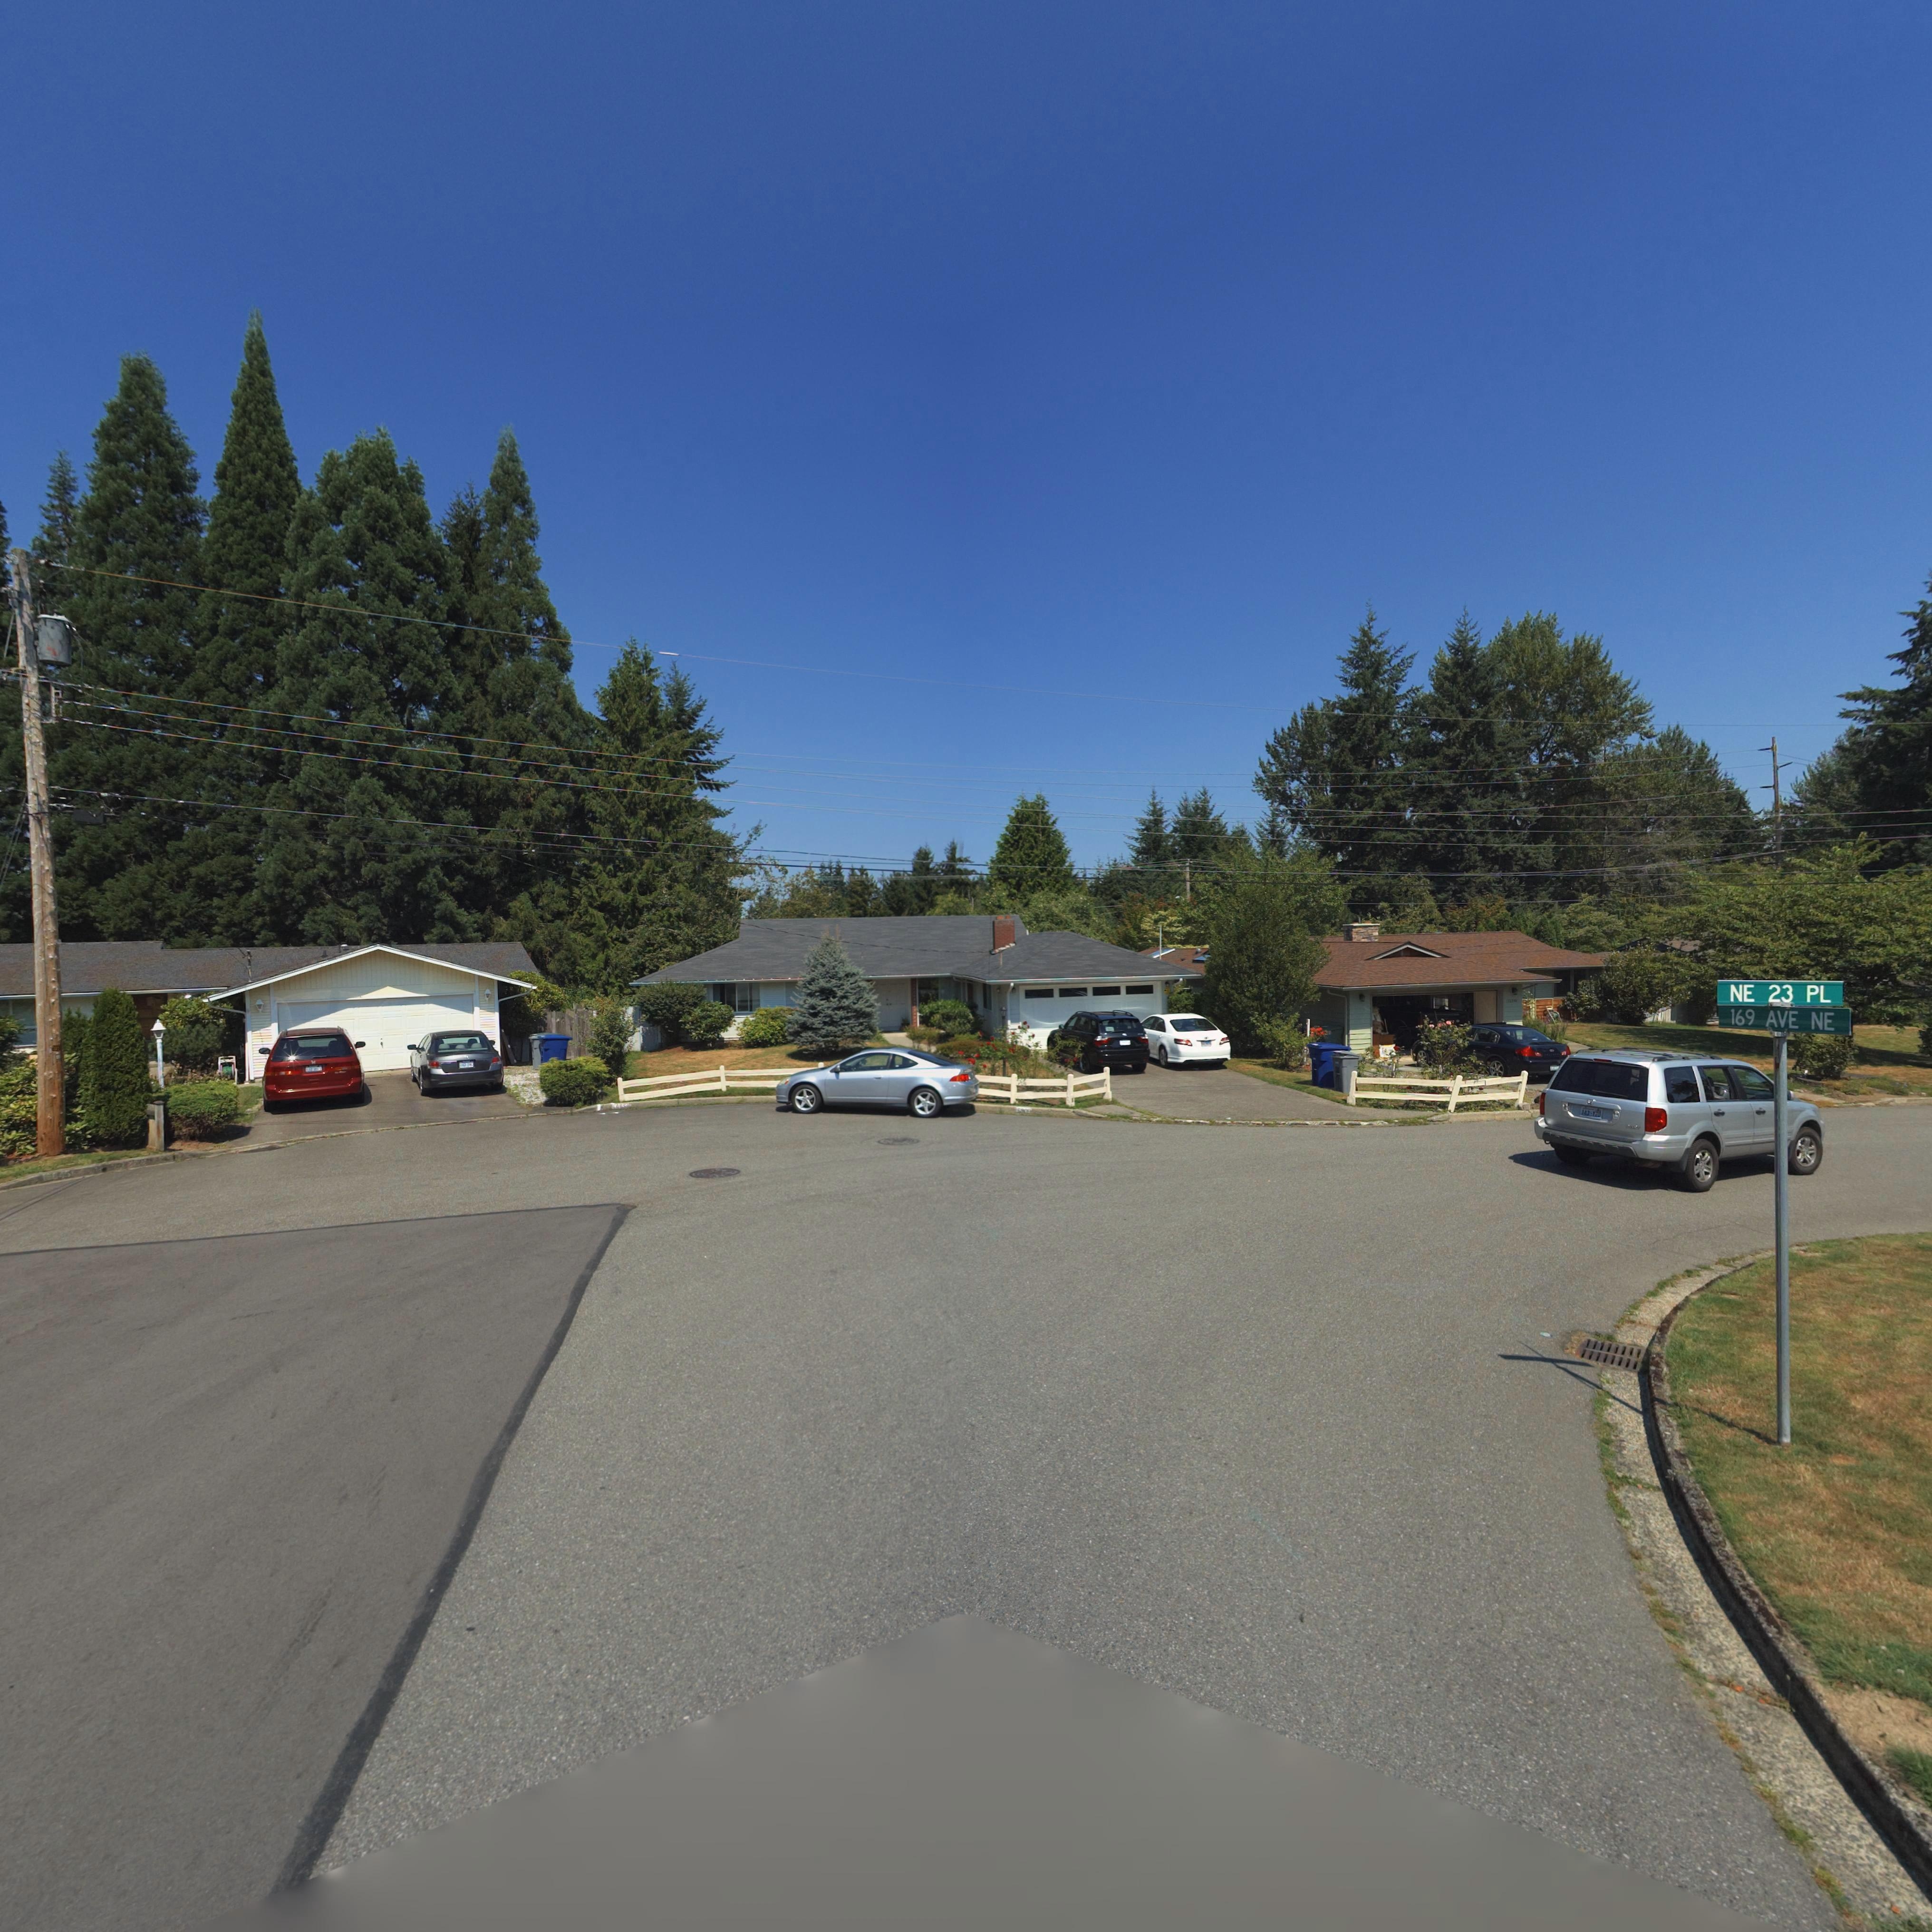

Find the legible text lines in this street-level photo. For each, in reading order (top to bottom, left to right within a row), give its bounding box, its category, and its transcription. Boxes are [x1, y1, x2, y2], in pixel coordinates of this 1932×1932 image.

[1729, 983, 1834, 1003] StreetName: NE 23 PL
[1730, 1008, 1834, 1030] StreetName: 169 AVE NE